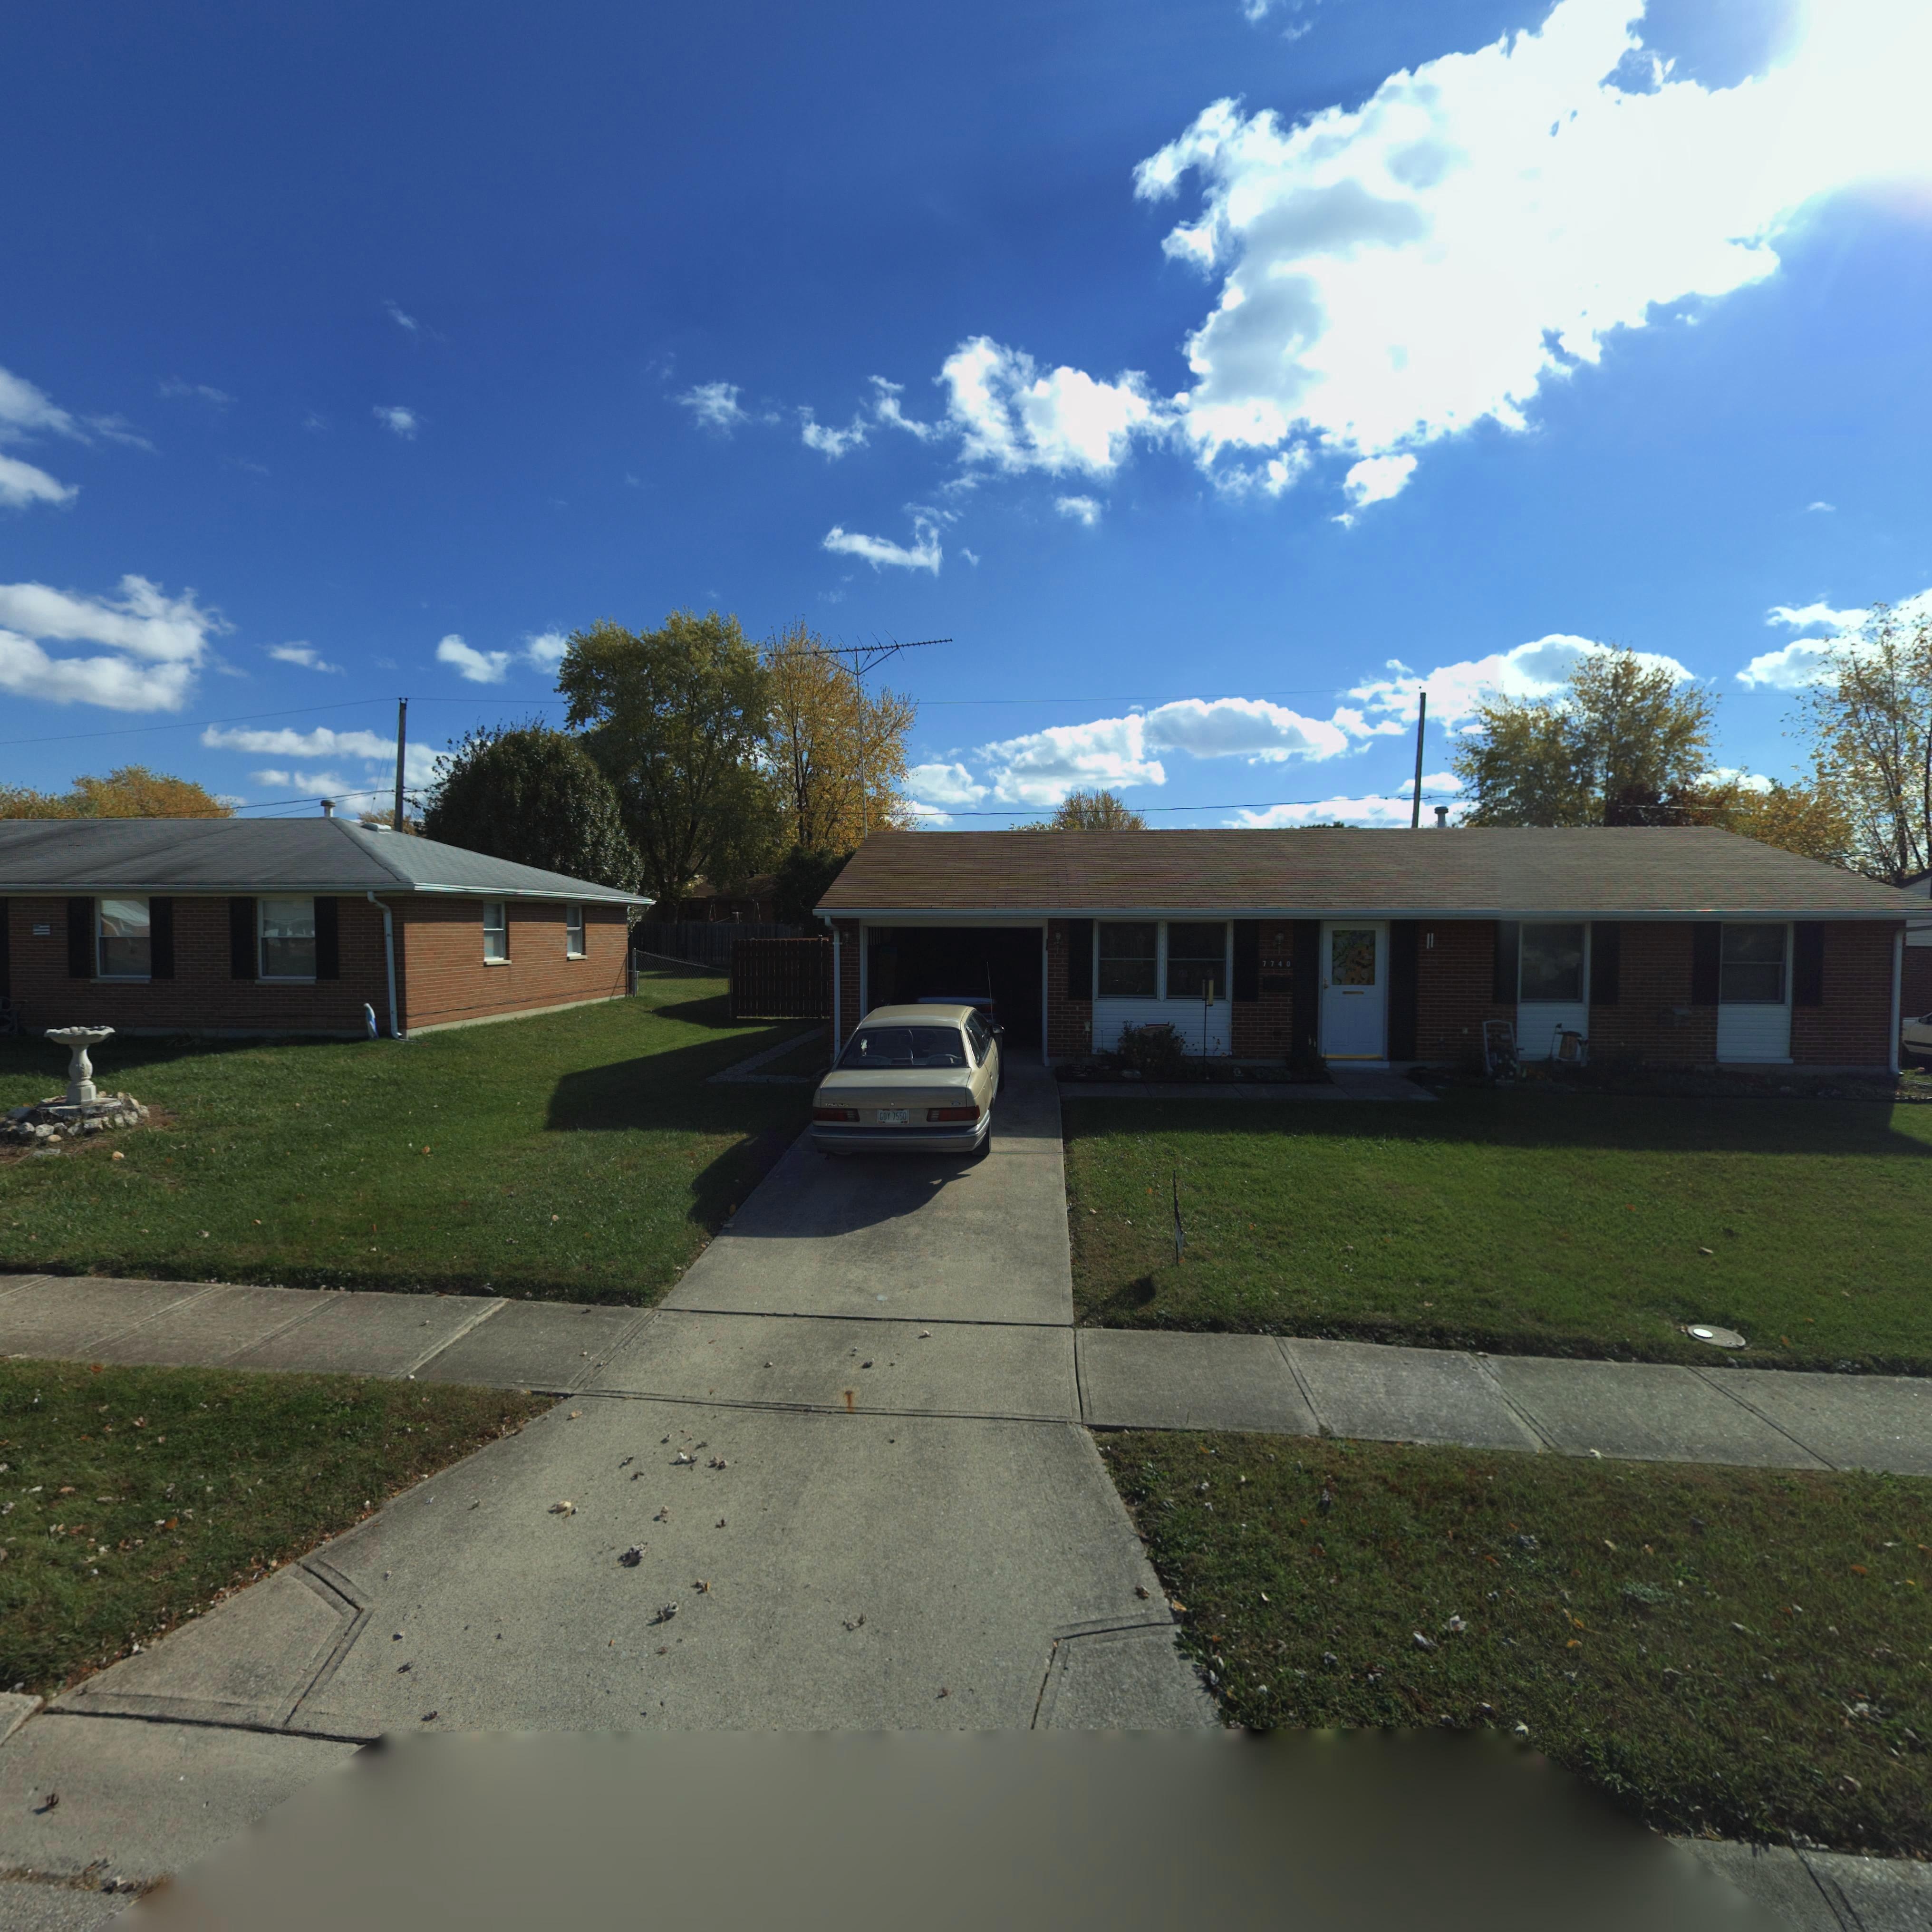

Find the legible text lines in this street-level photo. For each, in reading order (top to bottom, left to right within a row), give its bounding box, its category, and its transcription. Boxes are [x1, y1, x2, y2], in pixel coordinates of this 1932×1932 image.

[1261, 960, 1291, 967] StreetNumber: 7740